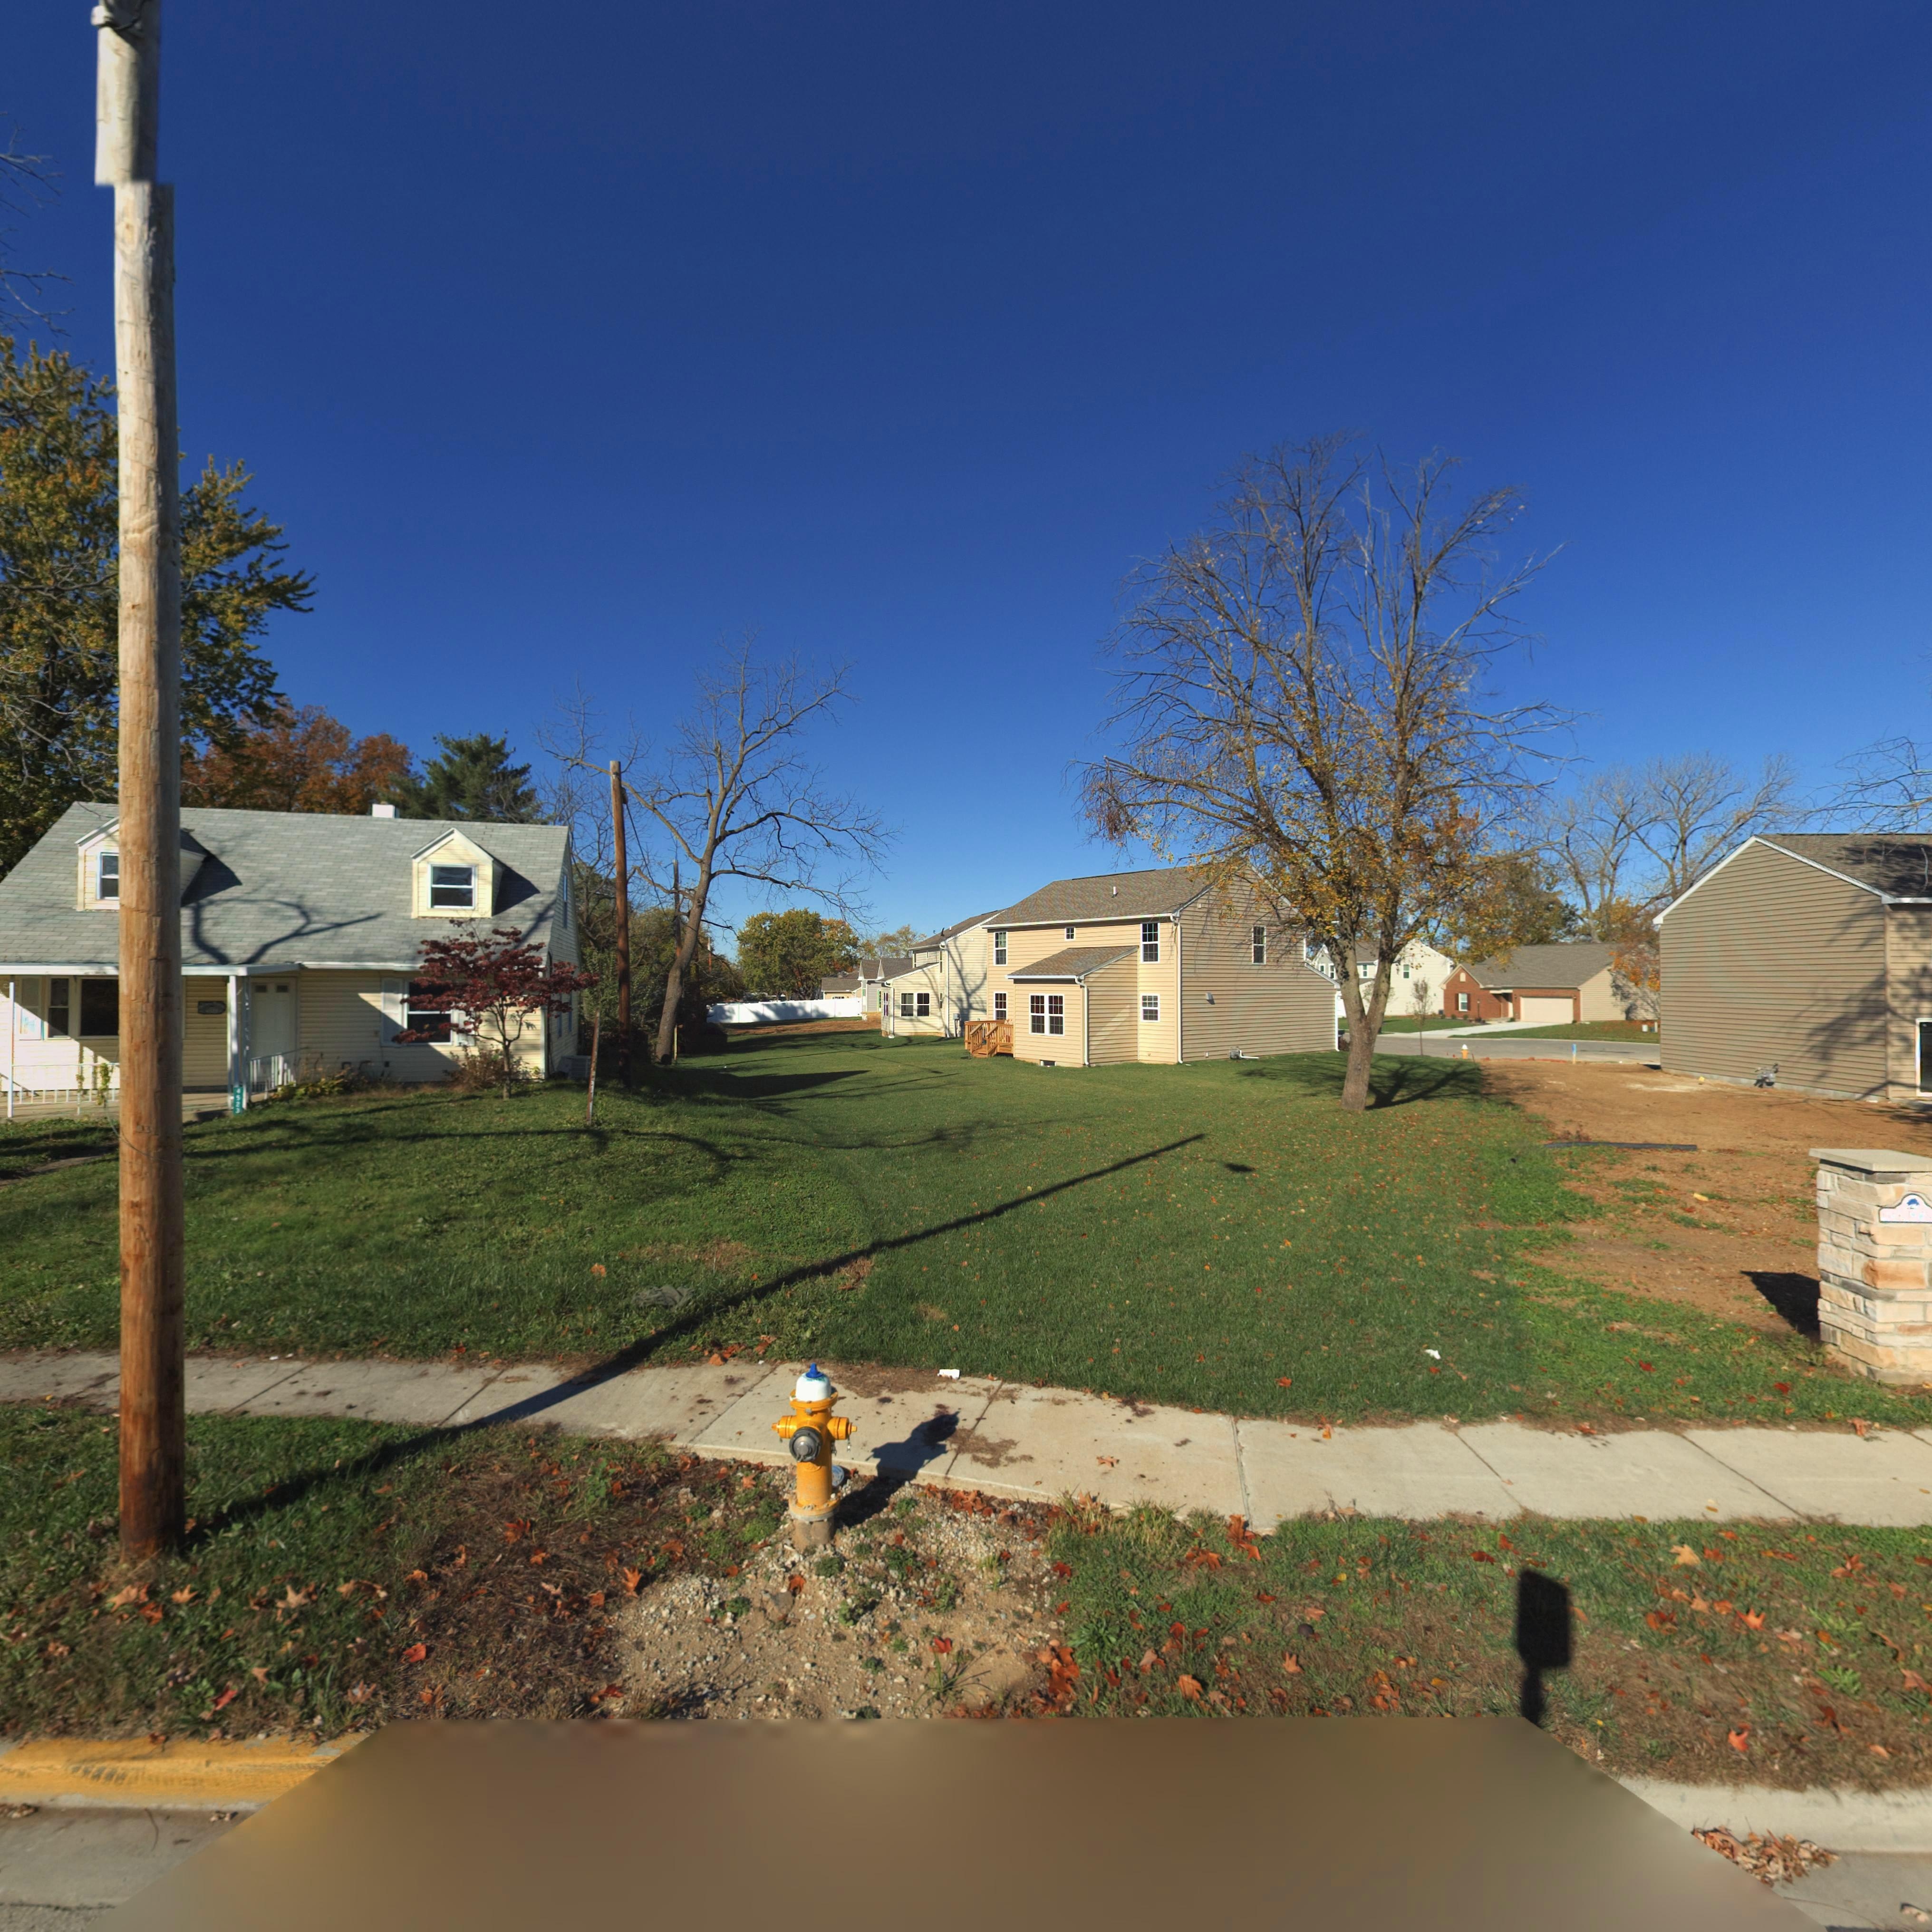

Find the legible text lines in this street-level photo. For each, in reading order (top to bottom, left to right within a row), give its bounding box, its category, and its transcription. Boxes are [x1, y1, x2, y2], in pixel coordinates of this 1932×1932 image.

[234, 1088, 241, 1114] StreetNumber: 4523